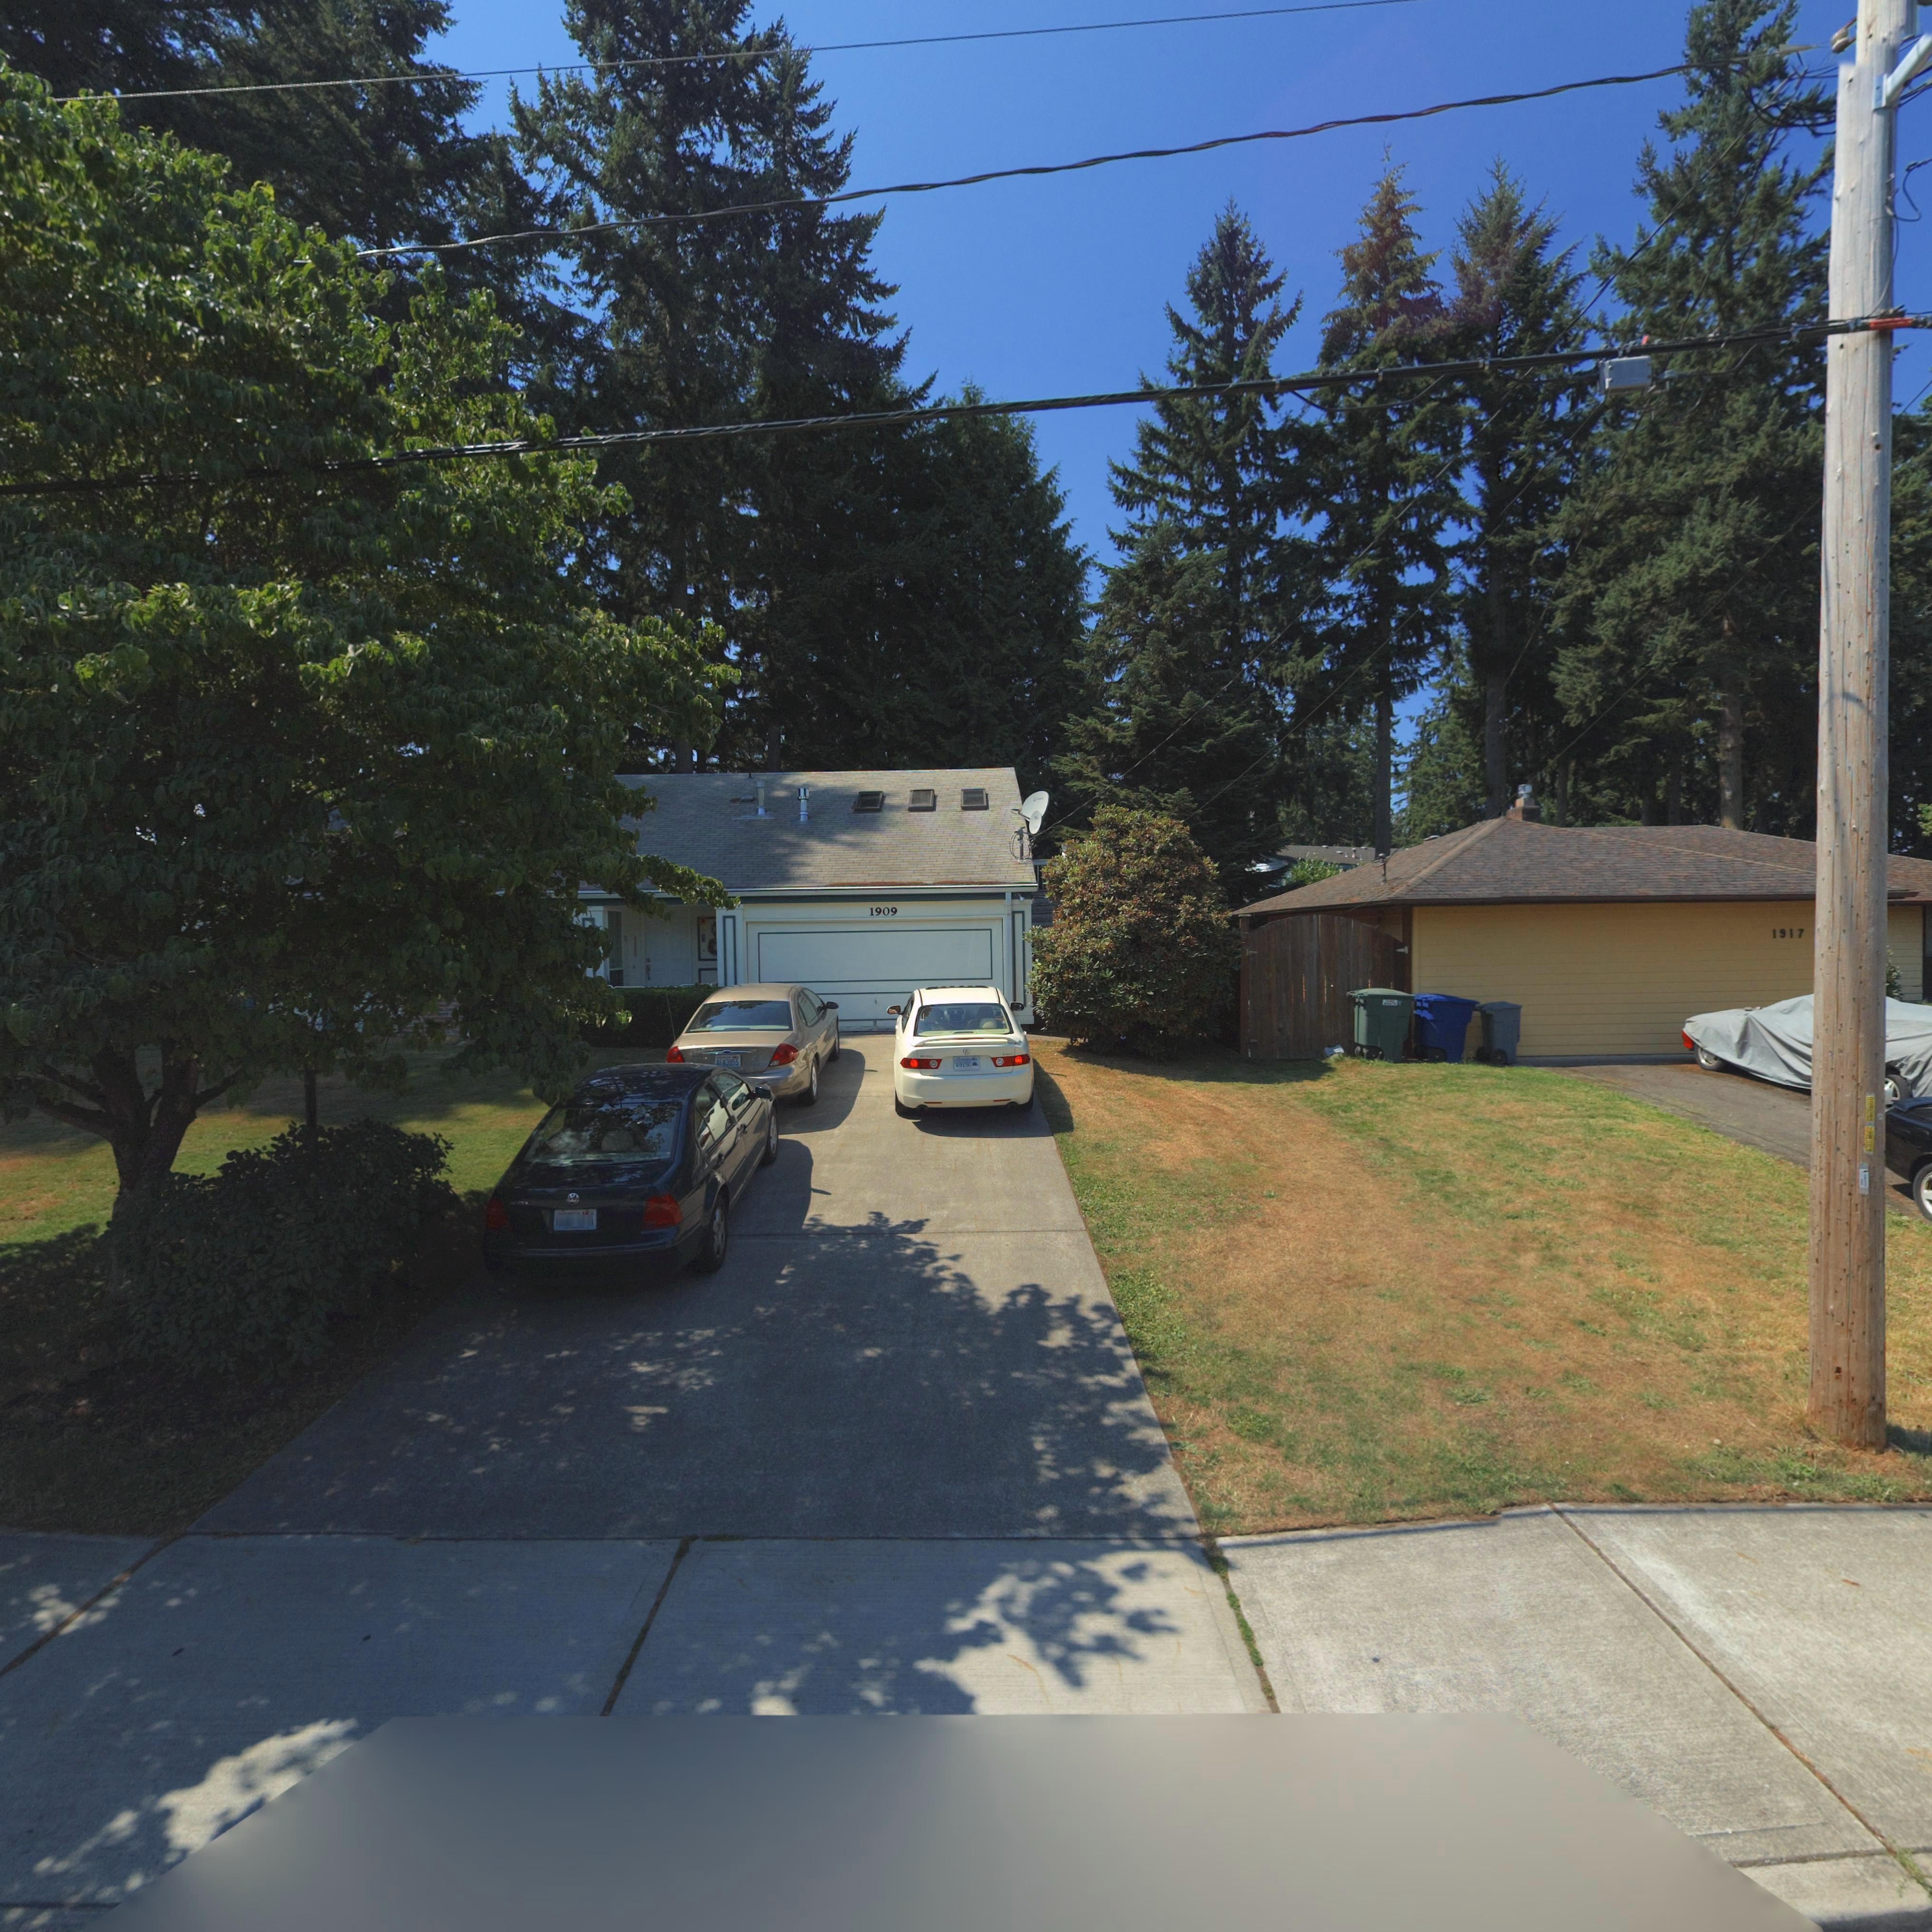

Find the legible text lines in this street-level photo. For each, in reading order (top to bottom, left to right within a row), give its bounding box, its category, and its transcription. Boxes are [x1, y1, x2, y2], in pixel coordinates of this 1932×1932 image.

[869, 906, 898, 917] StreetNumber: 1909
[1772, 928, 1804, 938] StreetNumber: 1917